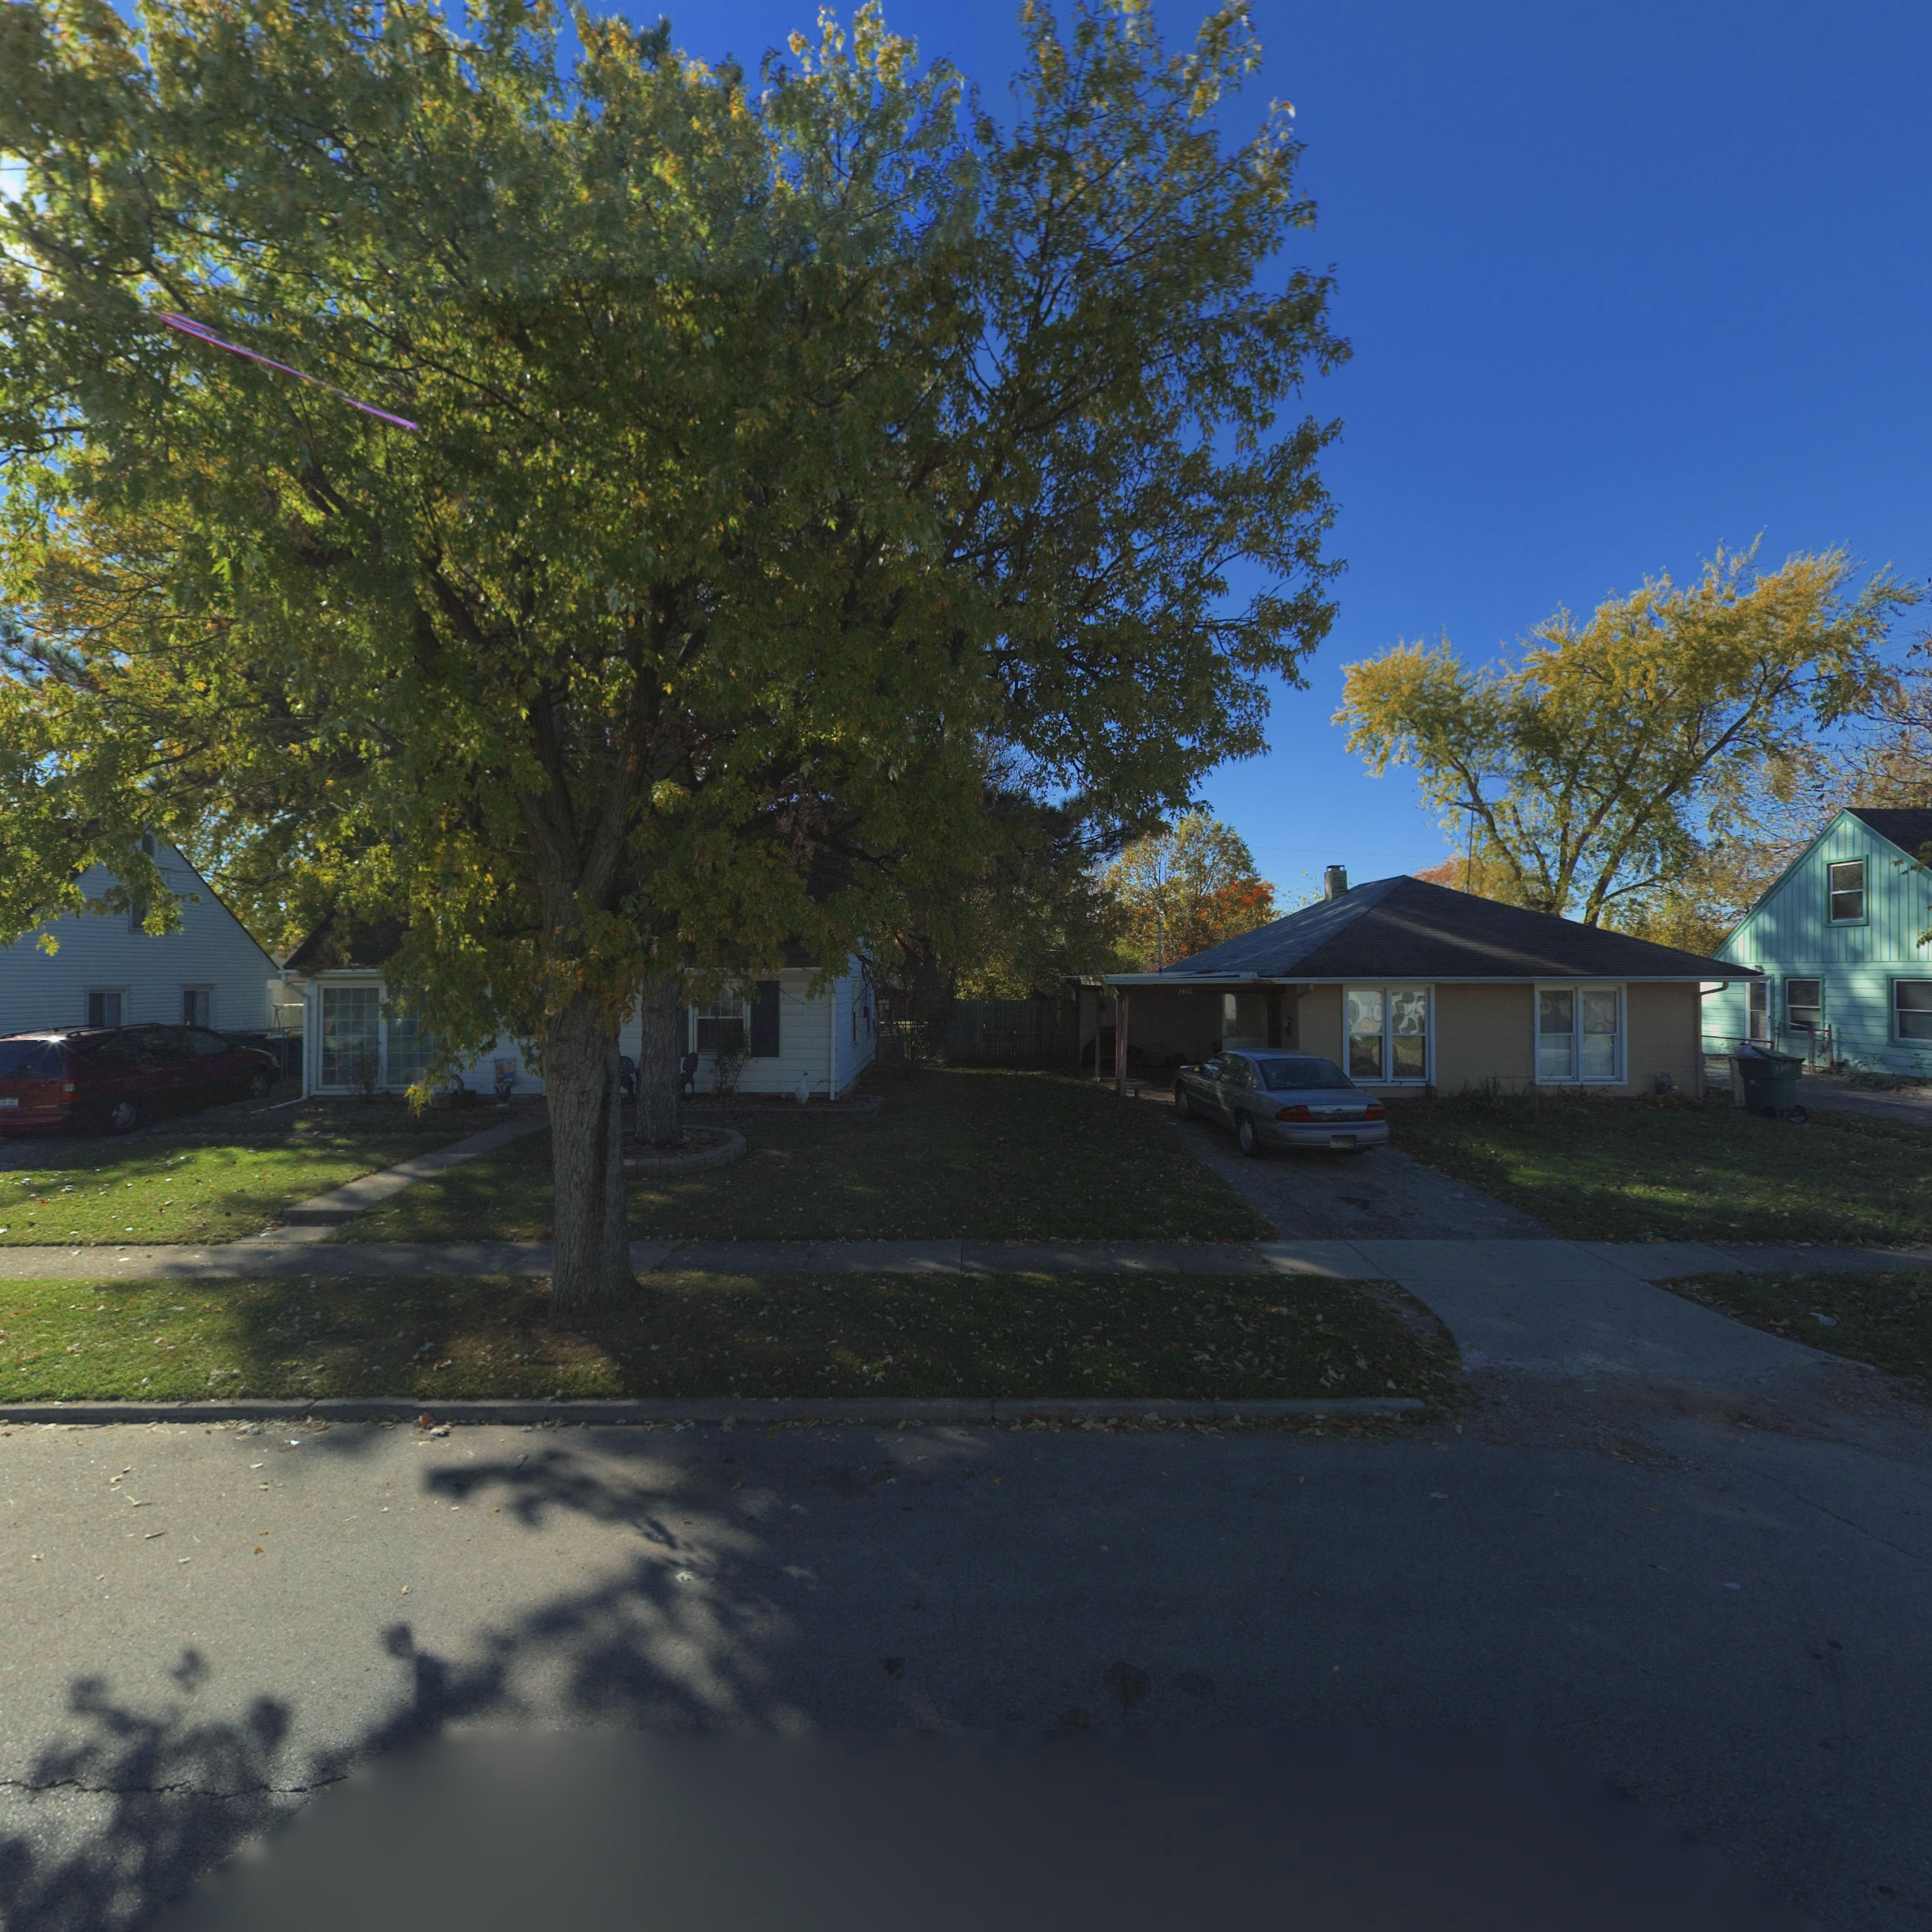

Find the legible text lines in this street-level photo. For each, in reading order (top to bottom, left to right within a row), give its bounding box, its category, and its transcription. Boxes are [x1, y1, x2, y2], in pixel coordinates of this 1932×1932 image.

[1178, 987, 1194, 995] StreetNumber: 243*